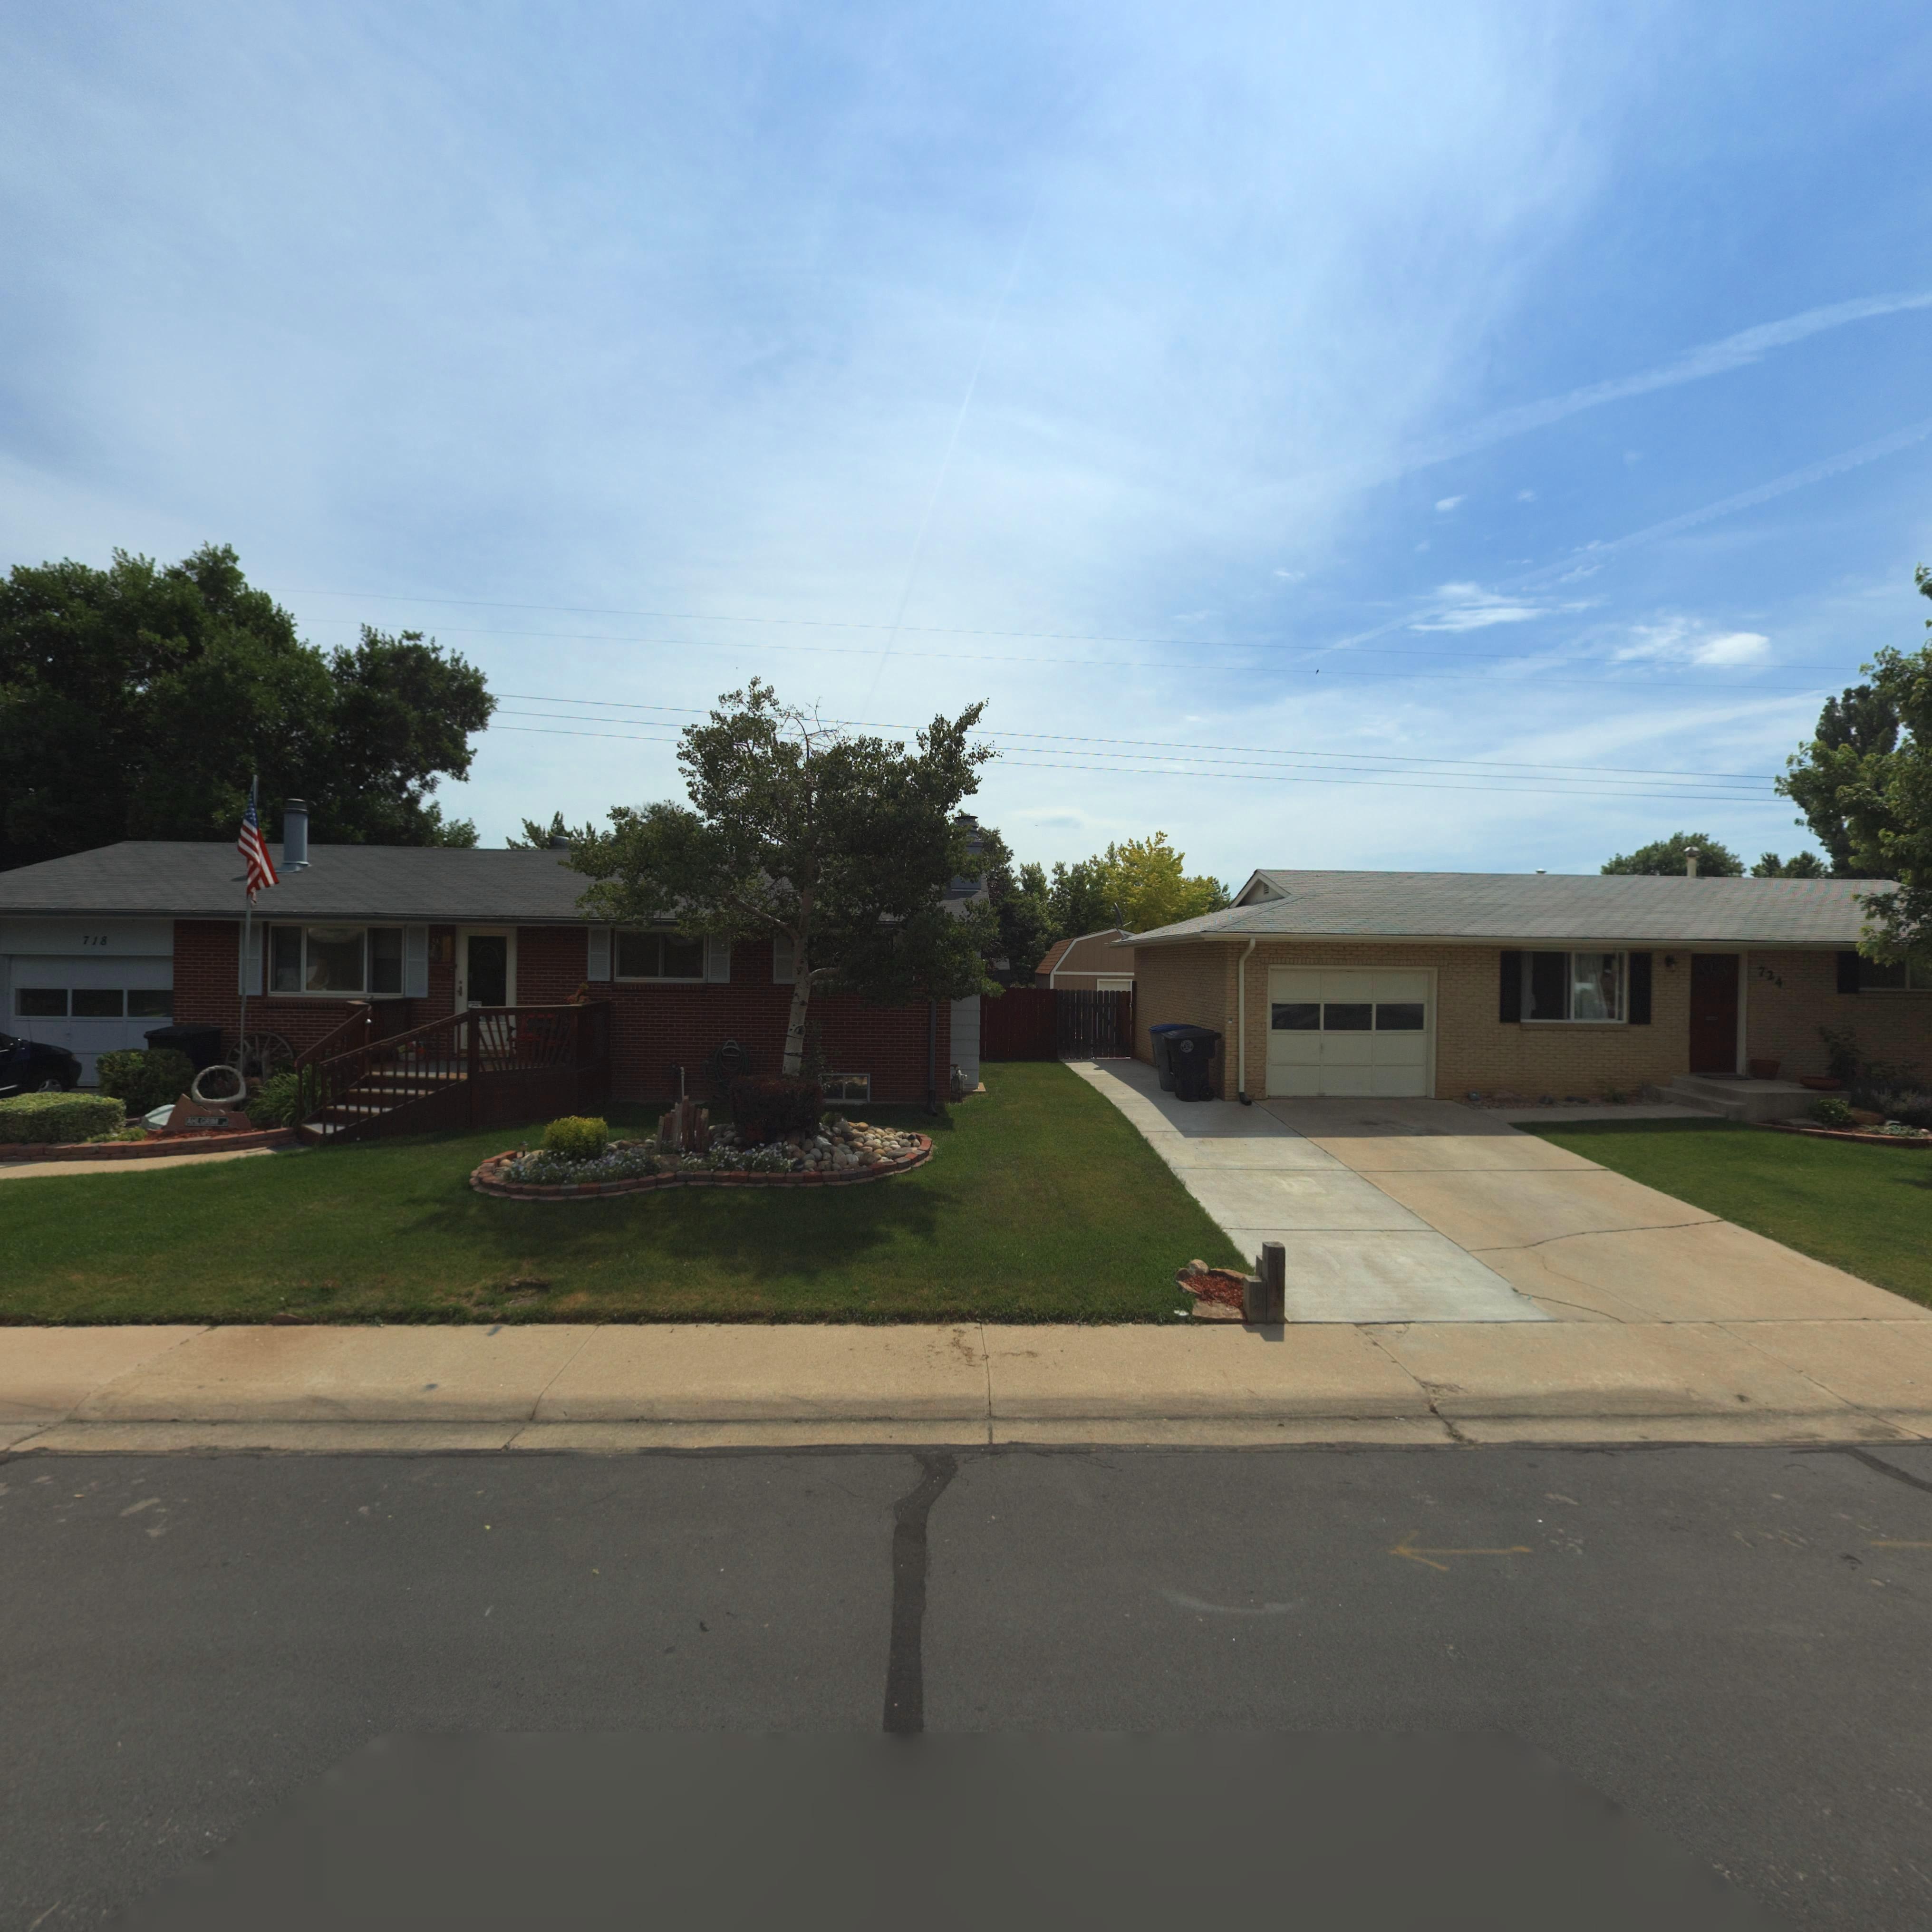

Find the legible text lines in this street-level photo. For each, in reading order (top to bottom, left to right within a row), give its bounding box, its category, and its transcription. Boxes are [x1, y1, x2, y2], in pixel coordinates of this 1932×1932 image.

[83, 935, 107, 946] StreetNumber: 718
[1757, 965, 1783, 989] StreetNumber: 724*